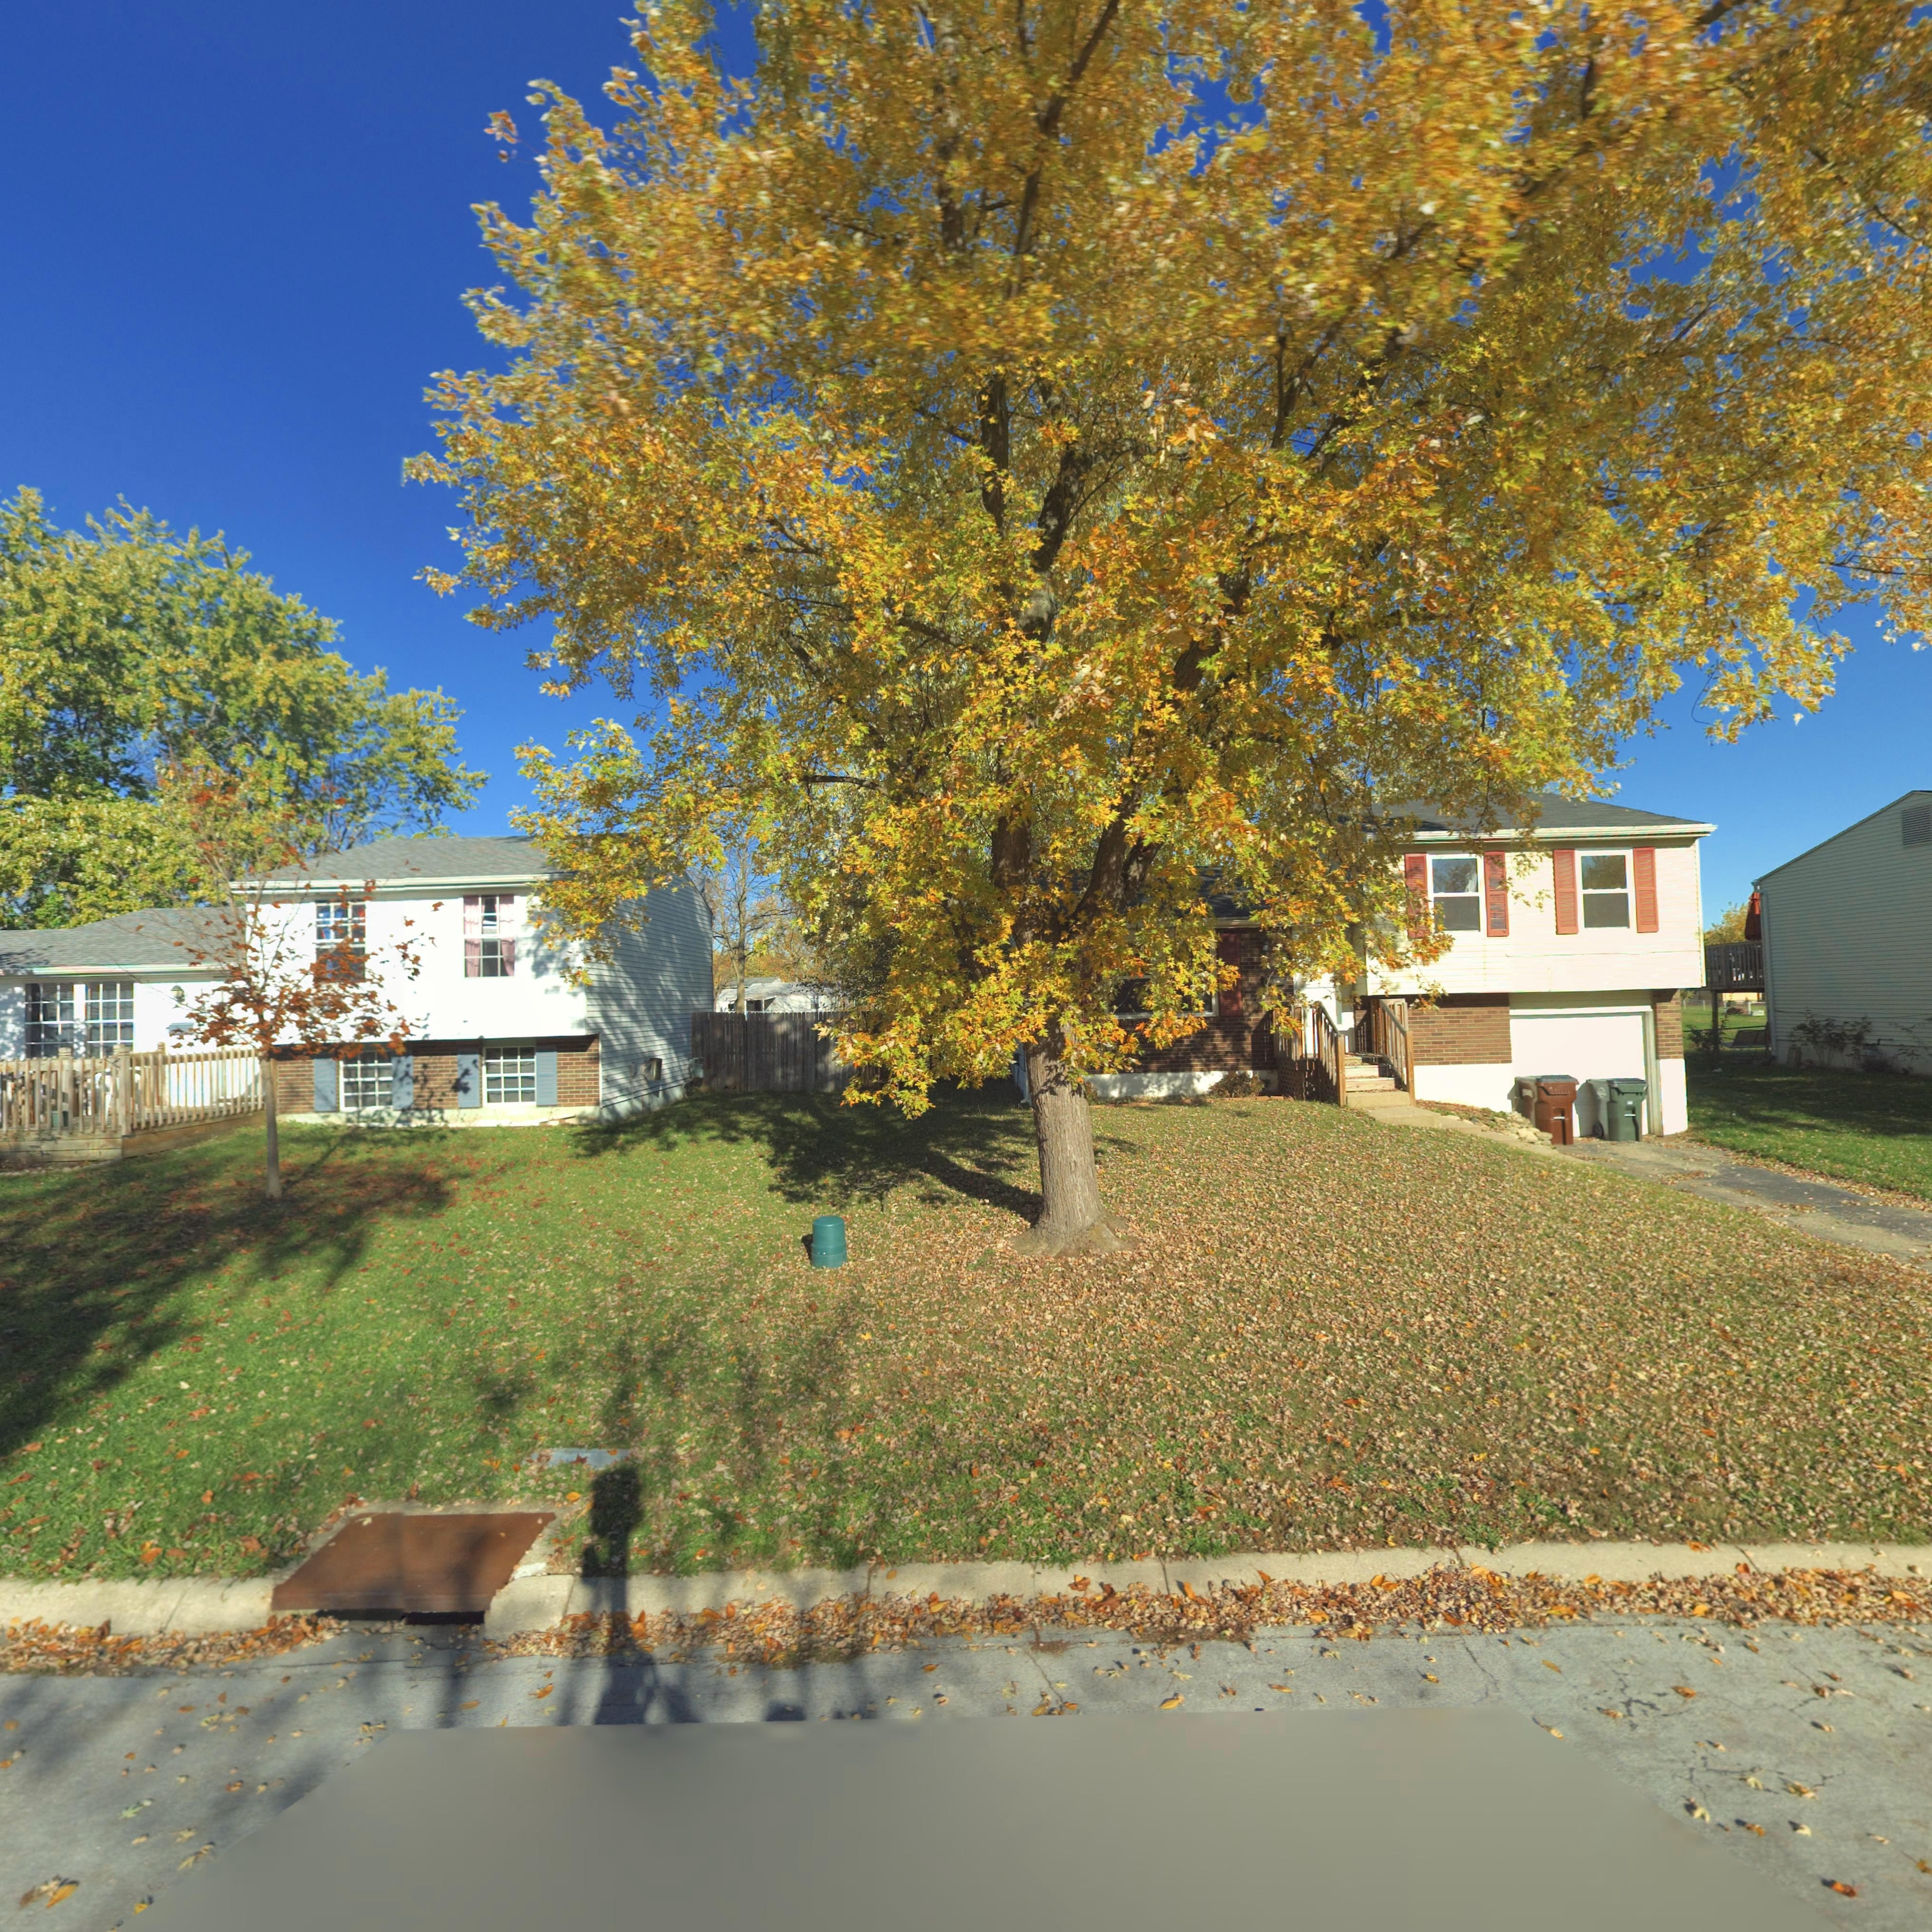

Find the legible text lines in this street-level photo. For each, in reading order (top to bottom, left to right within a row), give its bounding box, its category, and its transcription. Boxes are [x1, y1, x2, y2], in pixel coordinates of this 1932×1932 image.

[1270, 979, 1273, 985] StreetNumber: 1